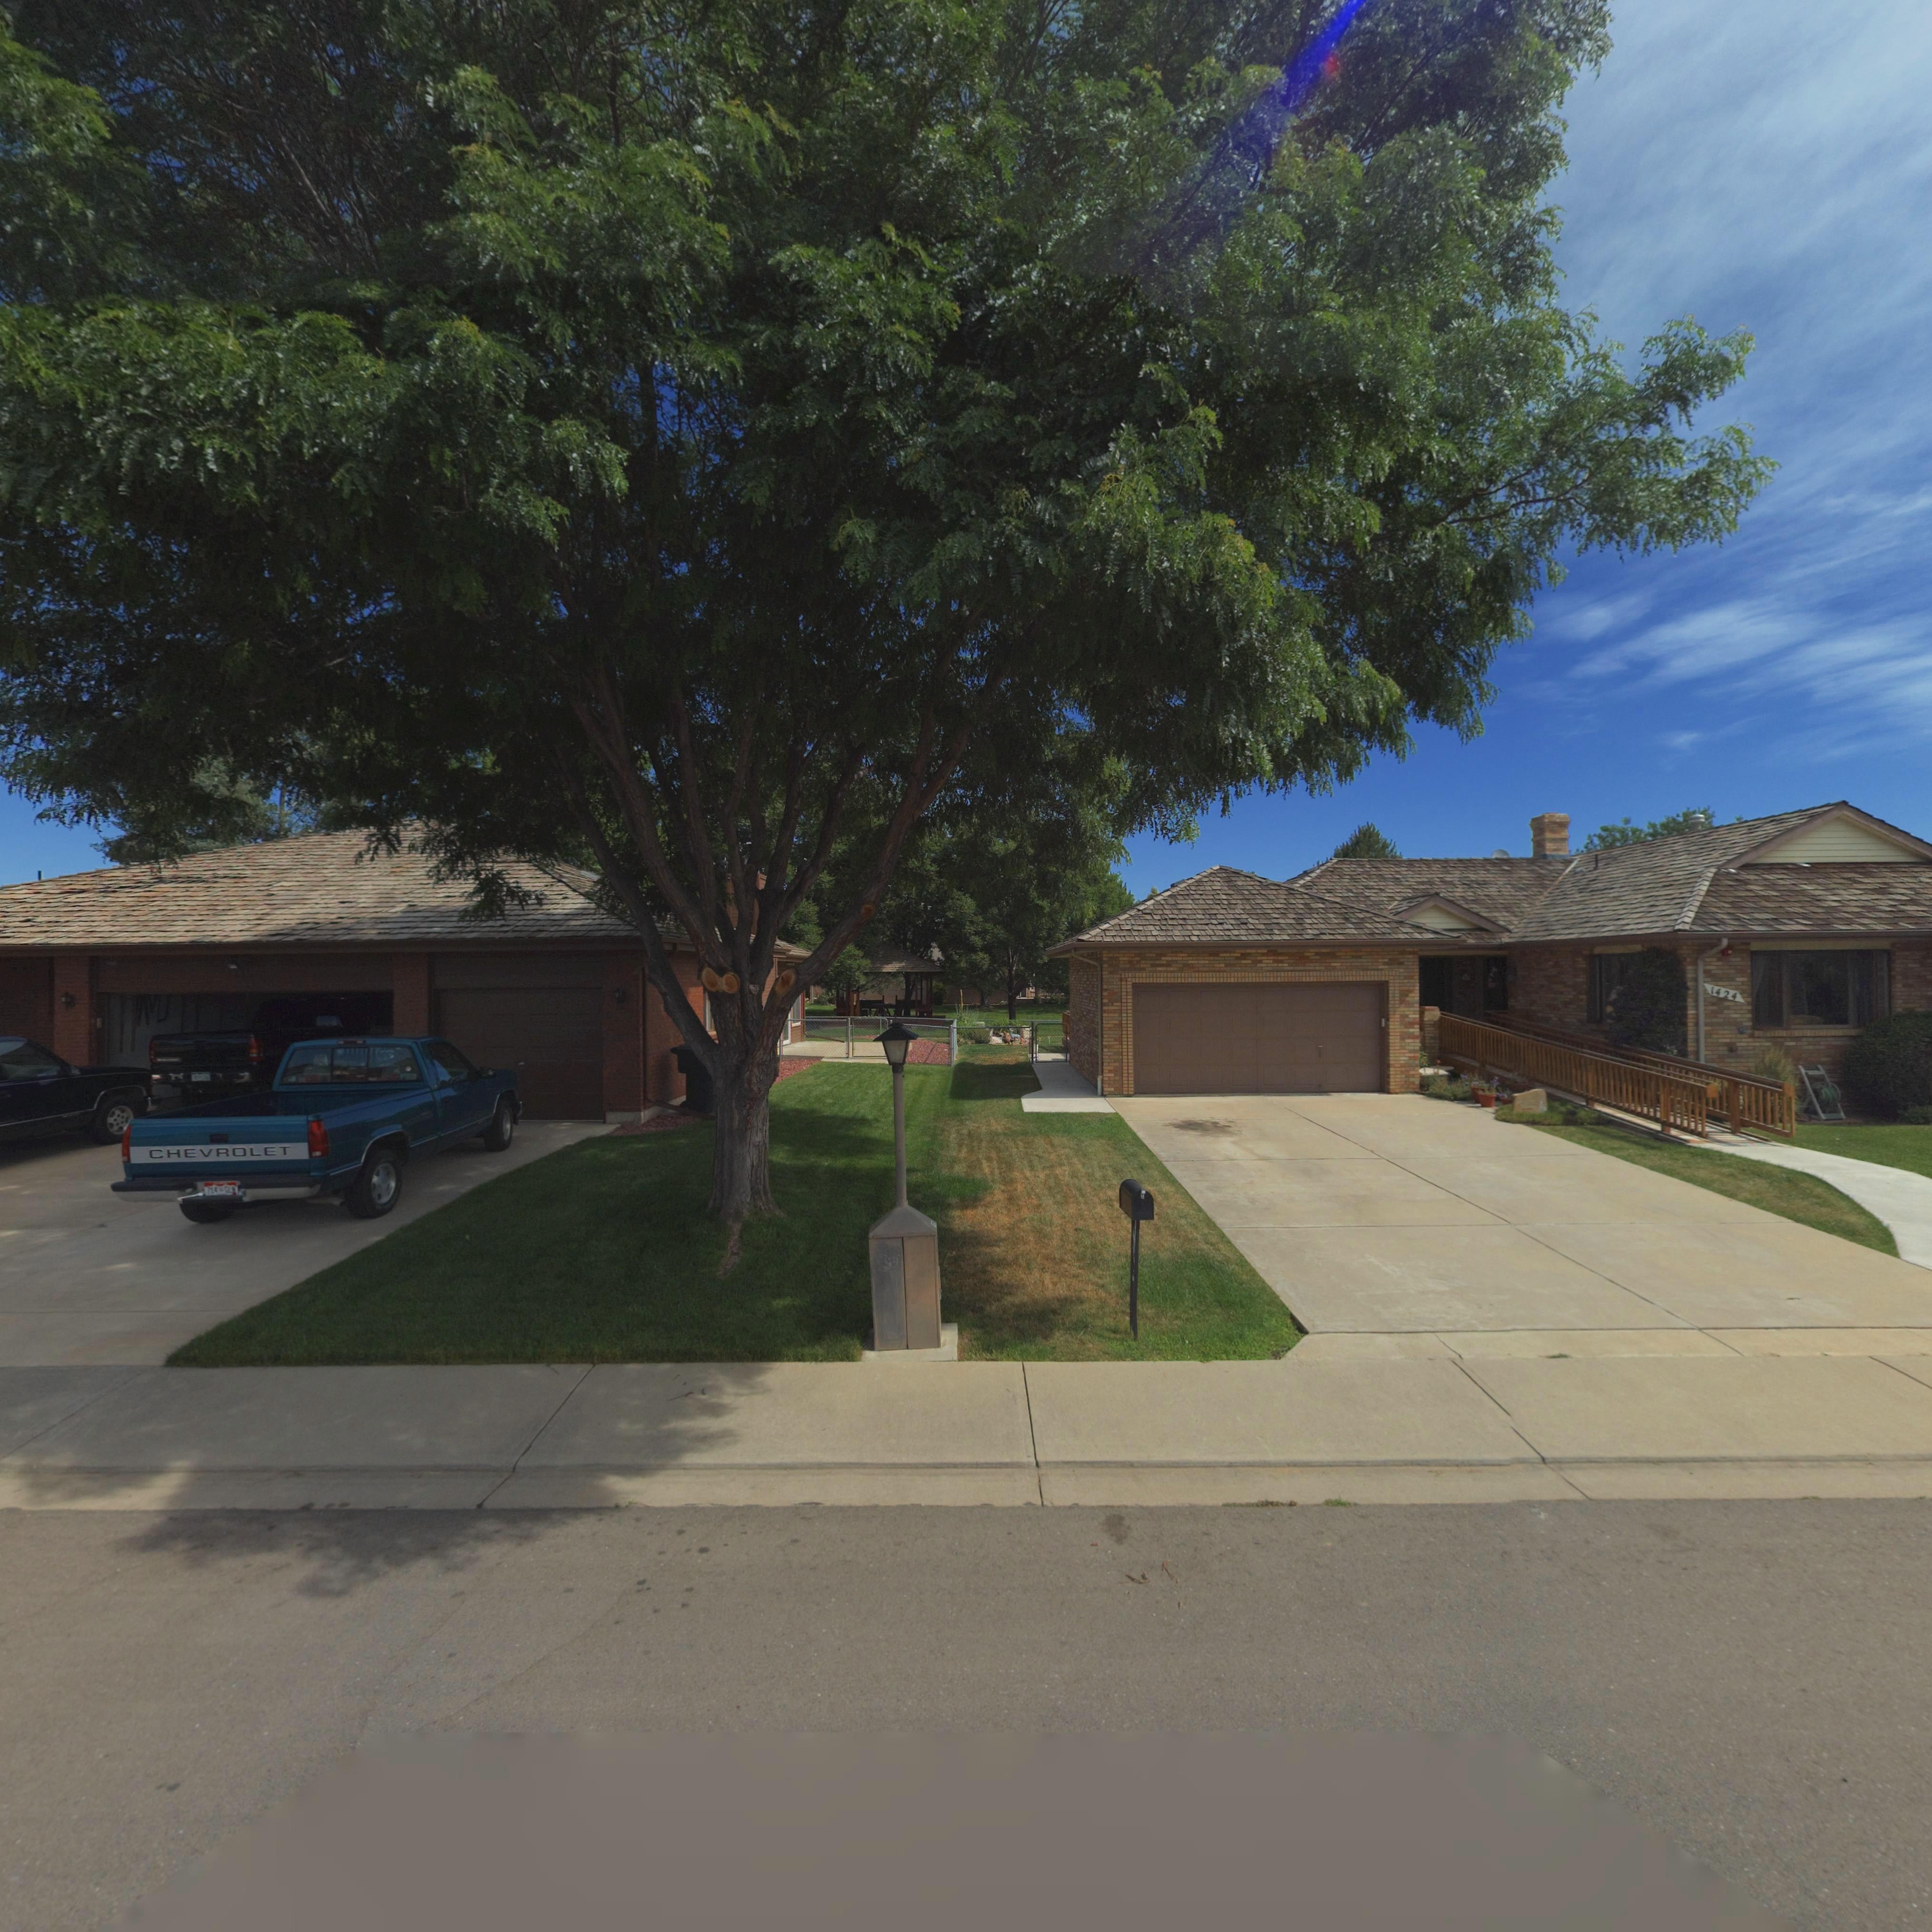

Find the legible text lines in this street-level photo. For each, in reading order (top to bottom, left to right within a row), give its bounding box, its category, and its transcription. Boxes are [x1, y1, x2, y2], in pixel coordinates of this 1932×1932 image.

[1710, 986, 1737, 1000] StreetNumber: 1424